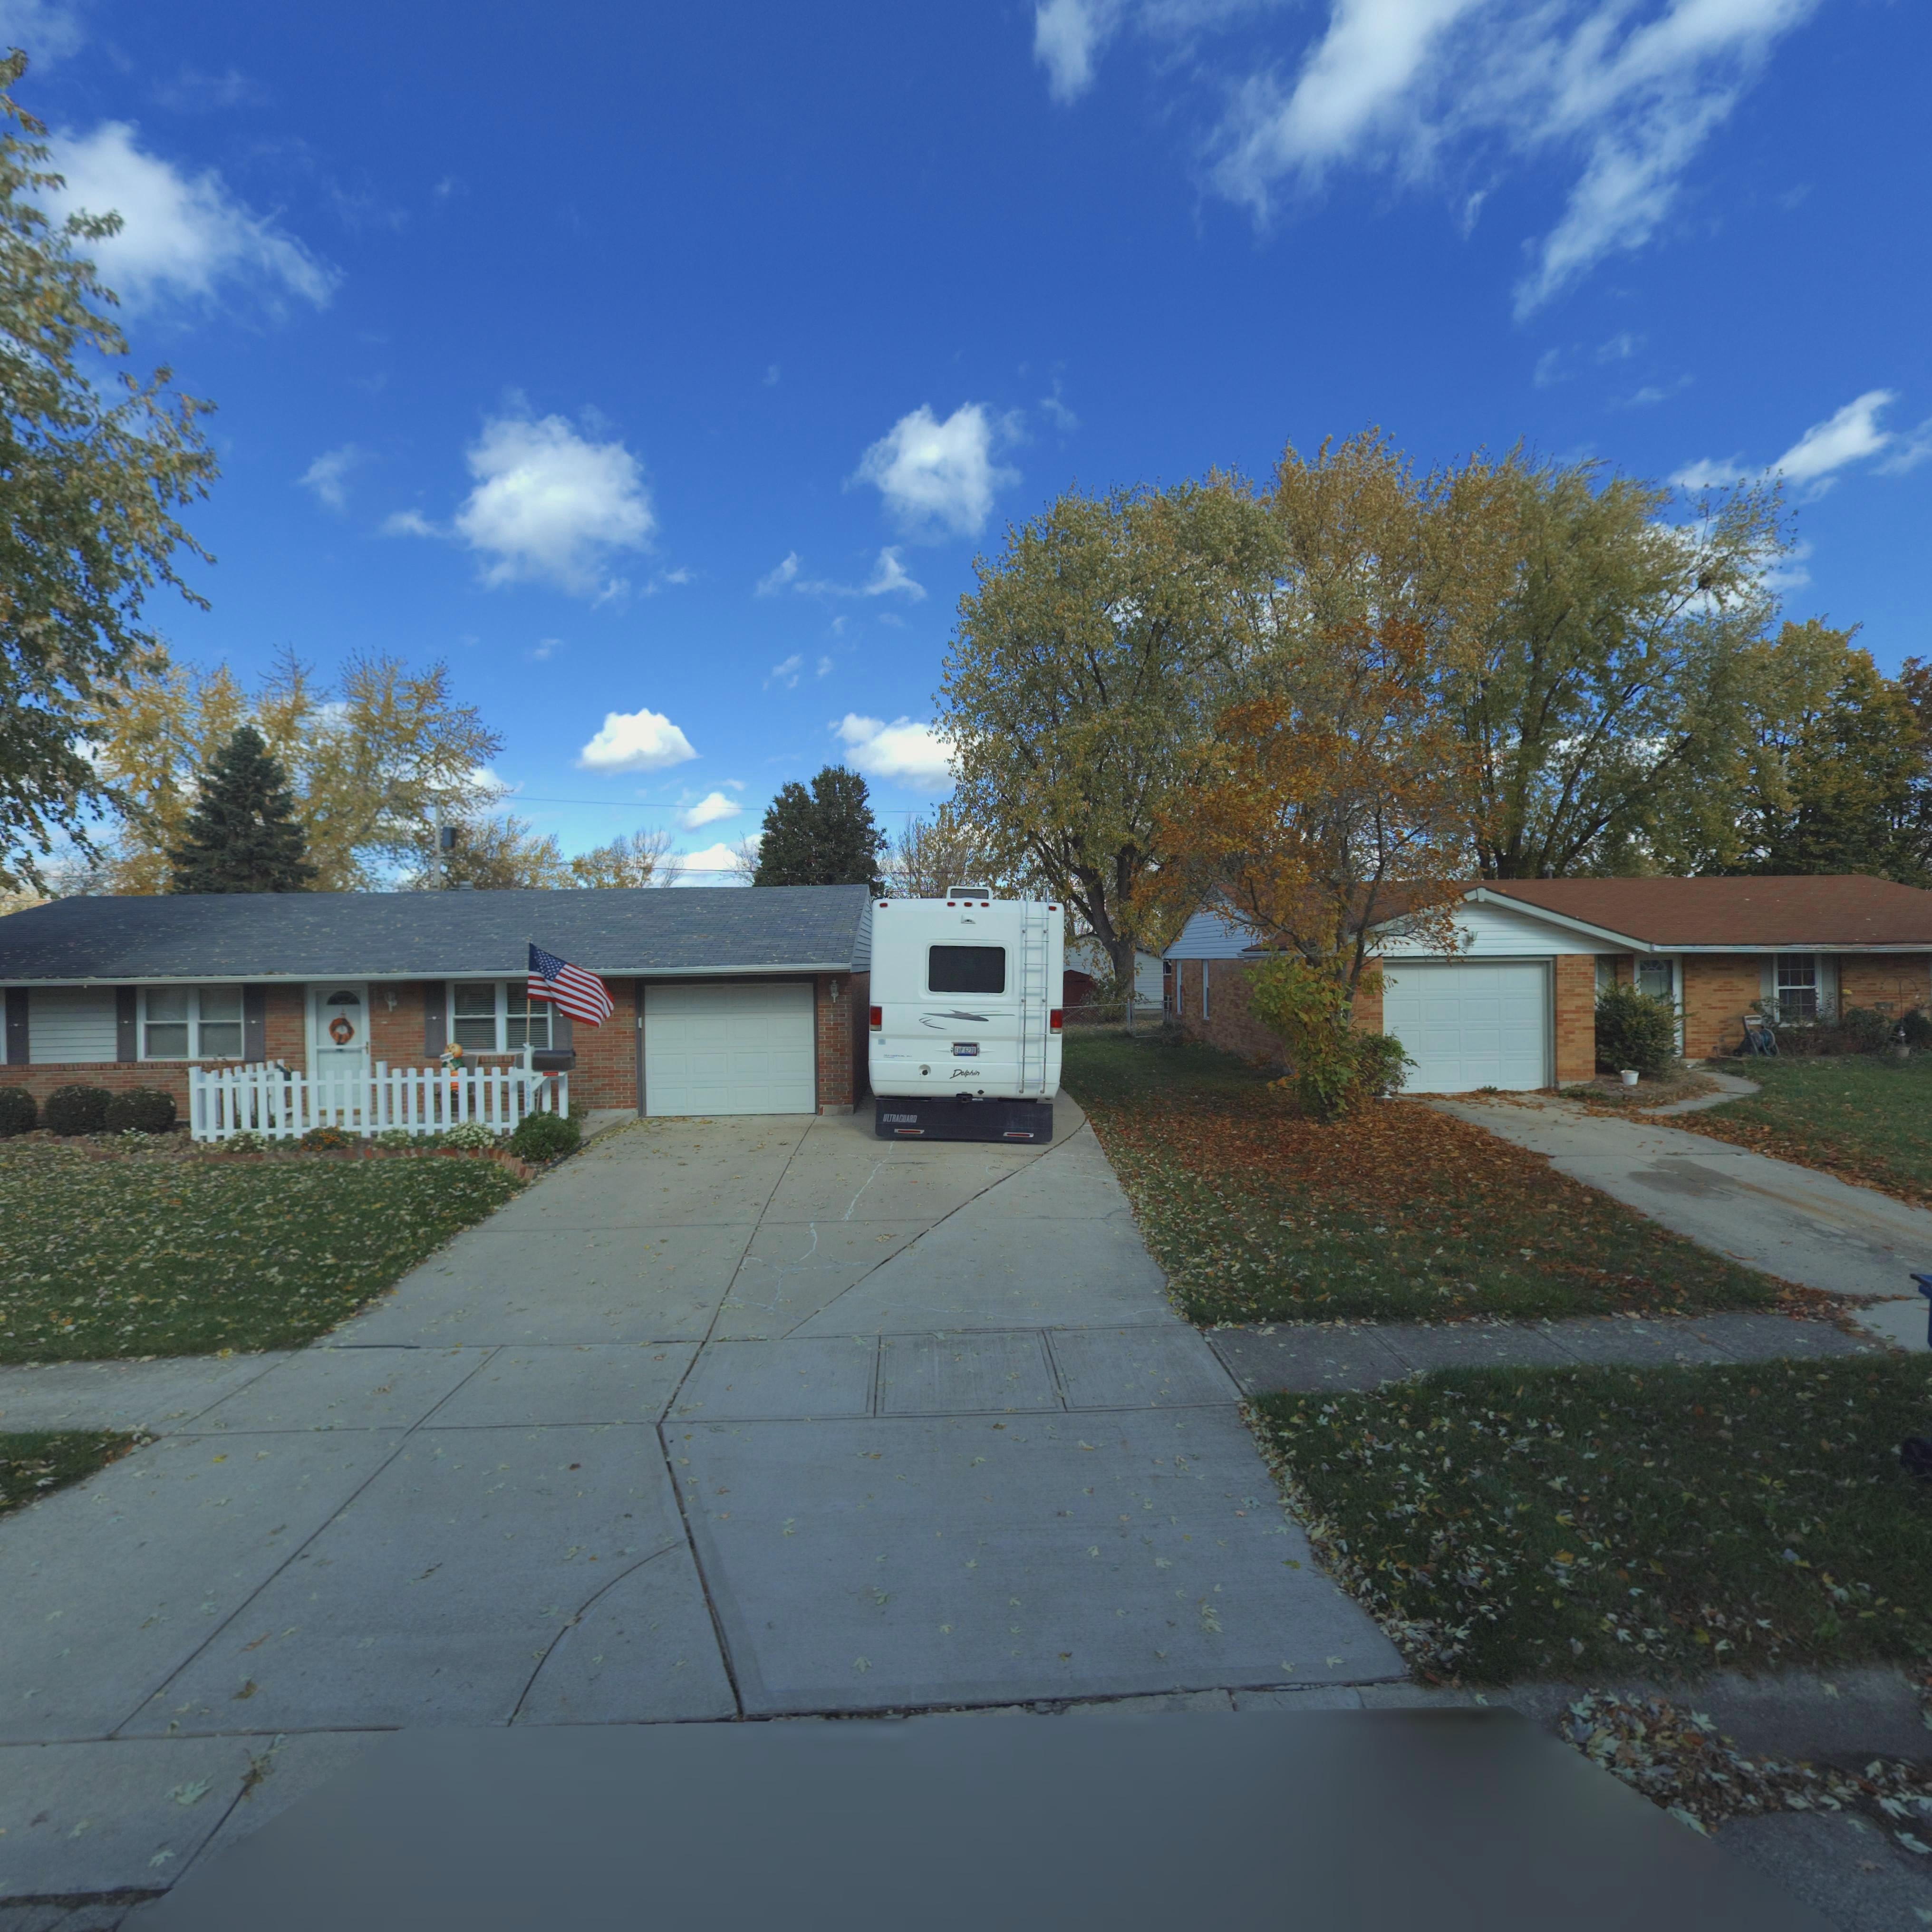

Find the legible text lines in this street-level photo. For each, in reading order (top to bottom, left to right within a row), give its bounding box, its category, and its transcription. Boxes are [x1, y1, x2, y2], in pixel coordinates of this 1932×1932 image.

[525, 1079, 531, 1108] StreetNumber: 684